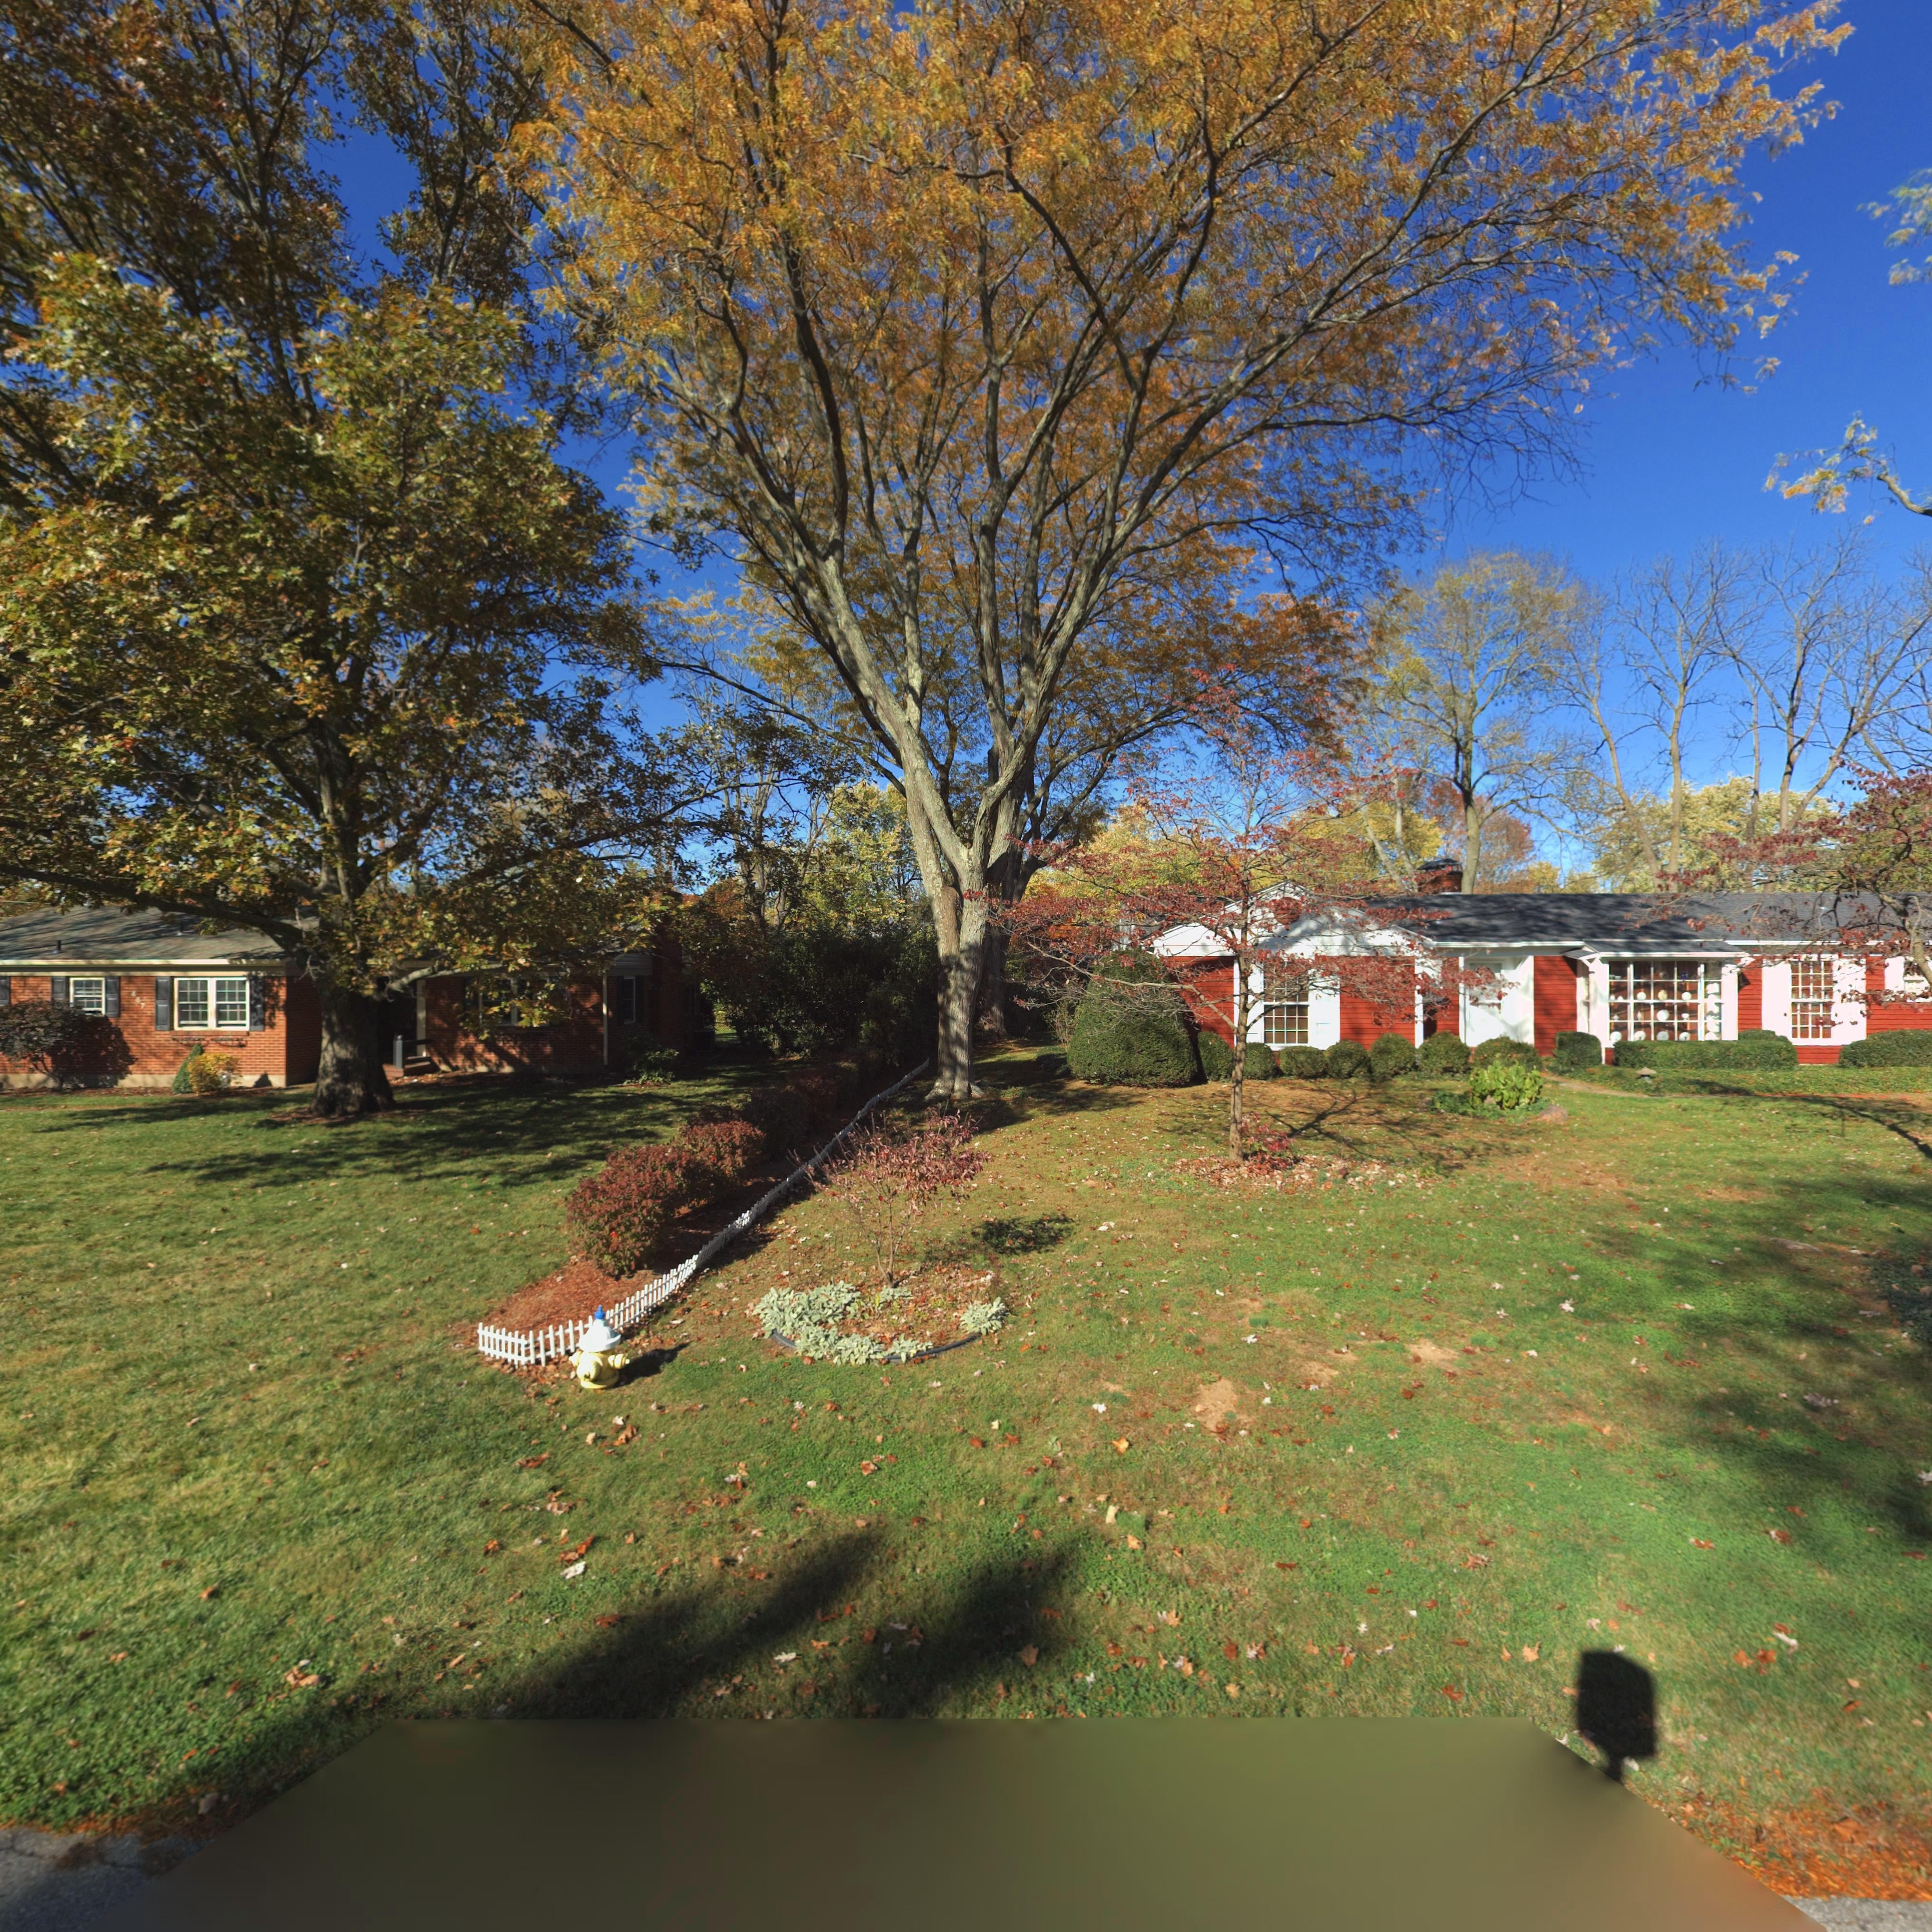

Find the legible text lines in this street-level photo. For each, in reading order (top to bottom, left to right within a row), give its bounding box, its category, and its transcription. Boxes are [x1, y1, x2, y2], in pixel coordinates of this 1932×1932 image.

[130, 990, 146, 1009] StreetNumber: 447